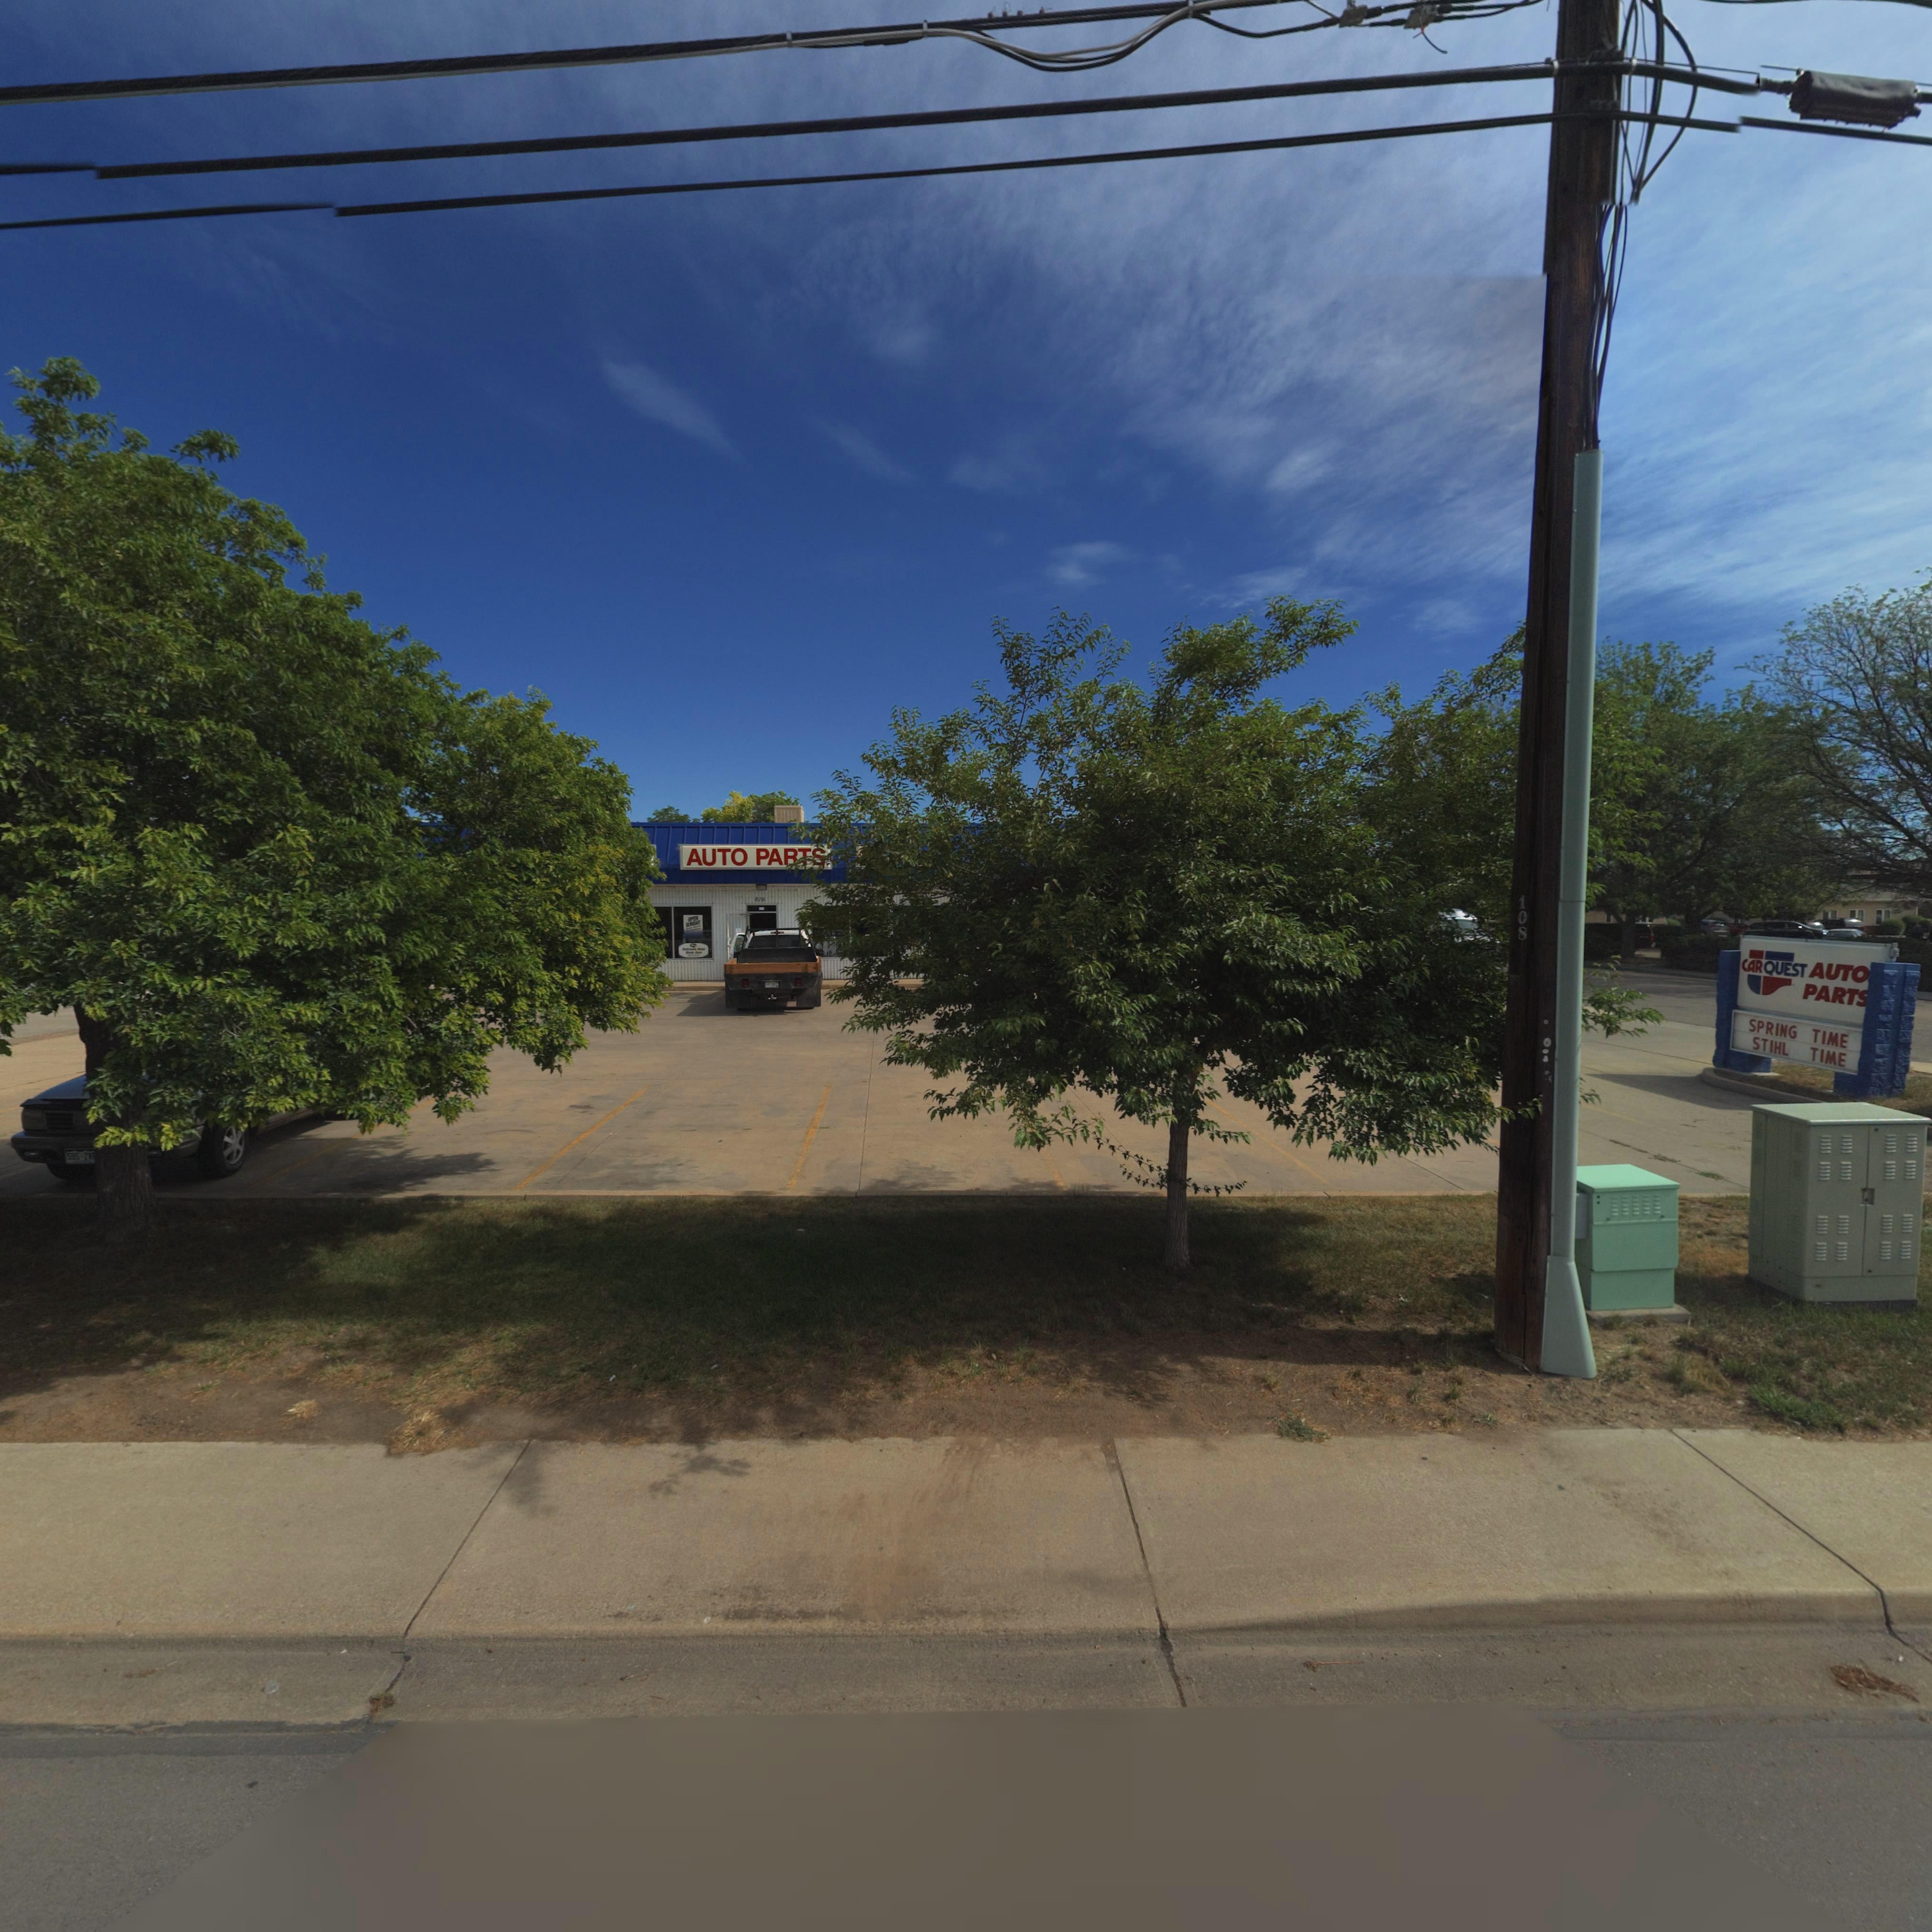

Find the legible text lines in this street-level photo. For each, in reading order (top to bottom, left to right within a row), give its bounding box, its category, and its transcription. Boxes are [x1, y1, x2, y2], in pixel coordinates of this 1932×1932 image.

[686, 847, 826, 866] BusinessName: AUTO PA*TS
[754, 897, 765, 902] StreetNumber: **0
[1740, 957, 1808, 978] BusinessName: CAR QUEST
[1806, 961, 1870, 984] BusinessName: AUTO
[1802, 982, 1869, 1008] BusinessName: PART*